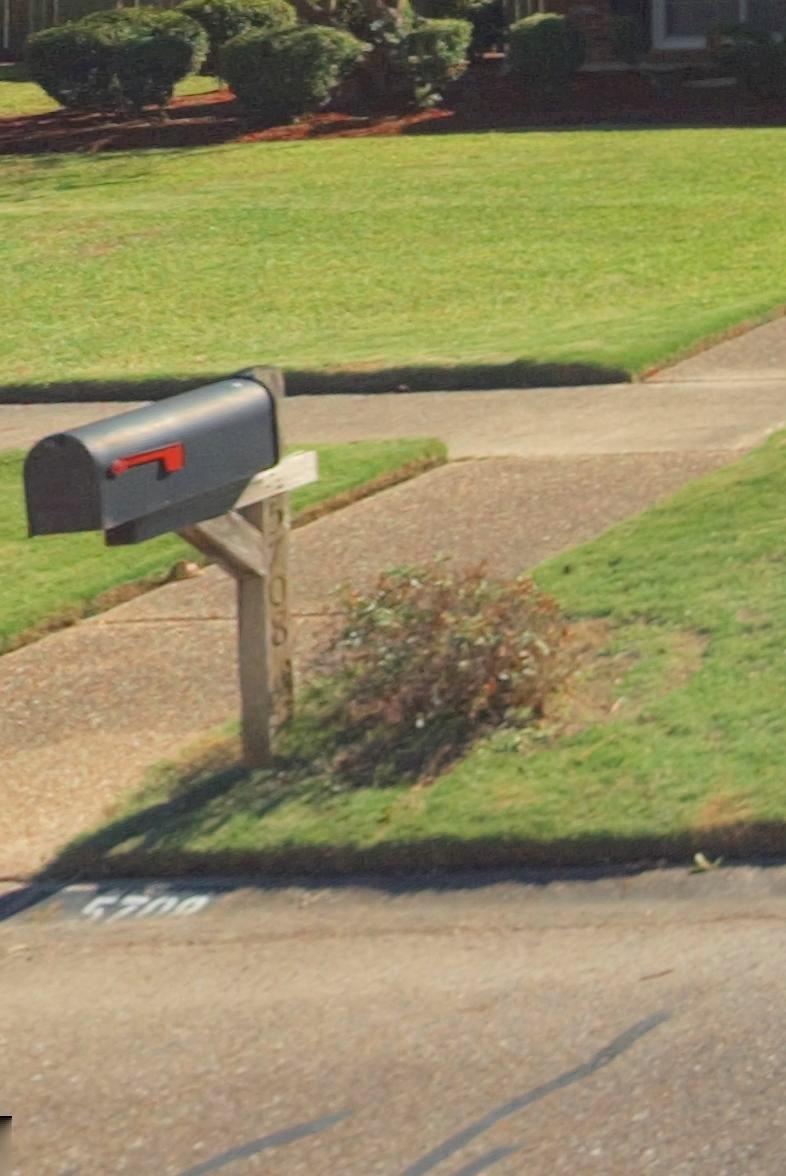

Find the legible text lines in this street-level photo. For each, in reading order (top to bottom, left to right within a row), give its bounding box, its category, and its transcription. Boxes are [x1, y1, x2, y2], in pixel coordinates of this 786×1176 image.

[263, 497, 293, 652] StreetNumber: 5708
[97, 890, 156, 932] StreetNumber: 7